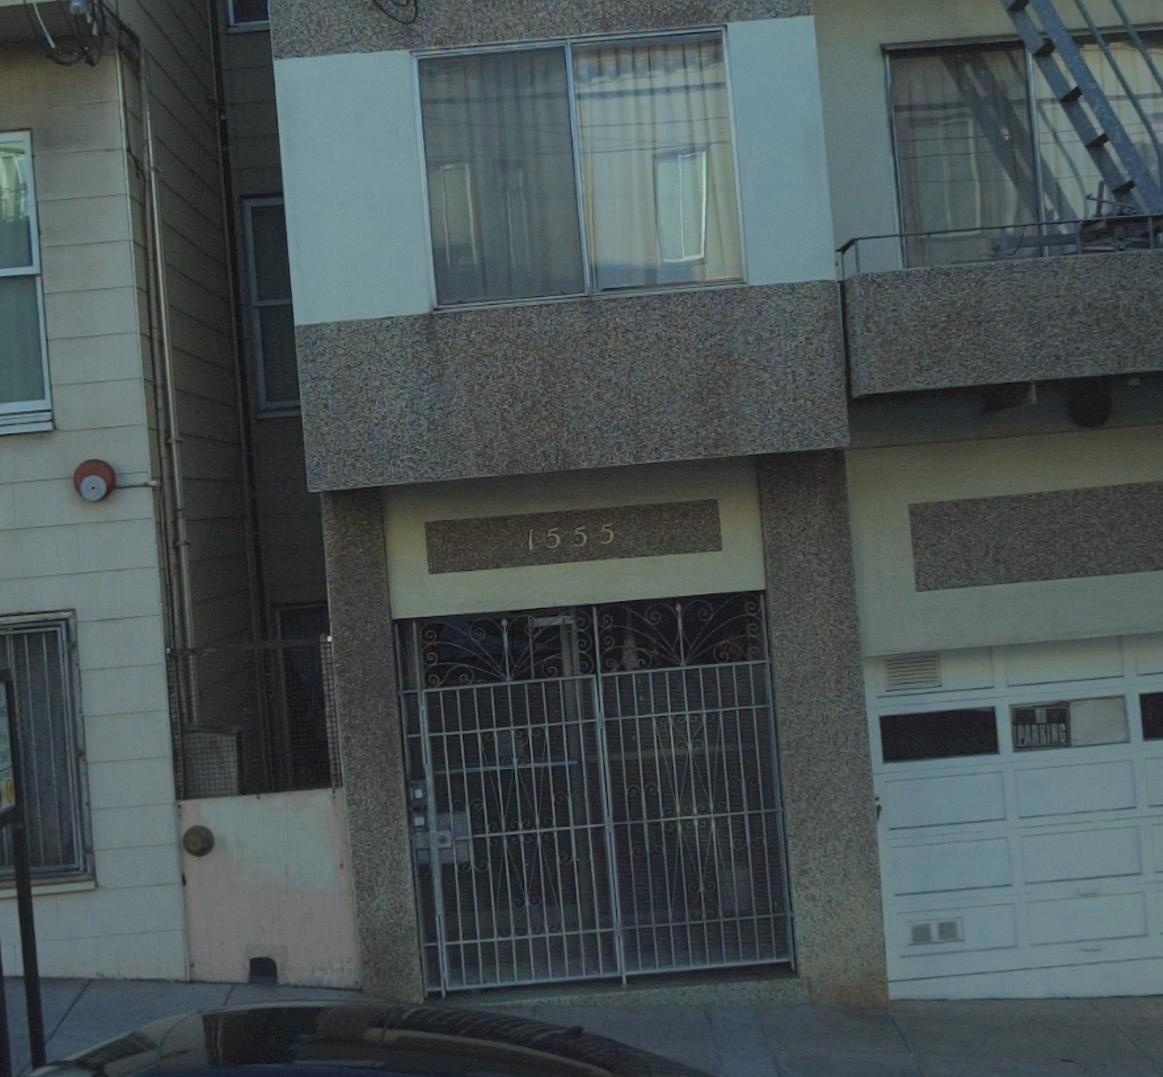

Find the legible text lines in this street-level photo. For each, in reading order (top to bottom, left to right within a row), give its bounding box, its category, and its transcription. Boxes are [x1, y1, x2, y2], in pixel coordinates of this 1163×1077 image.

[523, 521, 617, 553] StreetNumber: 1555
[1033, 709, 1048, 724] None: NO
[1016, 723, 1067, 746] None: PARKING